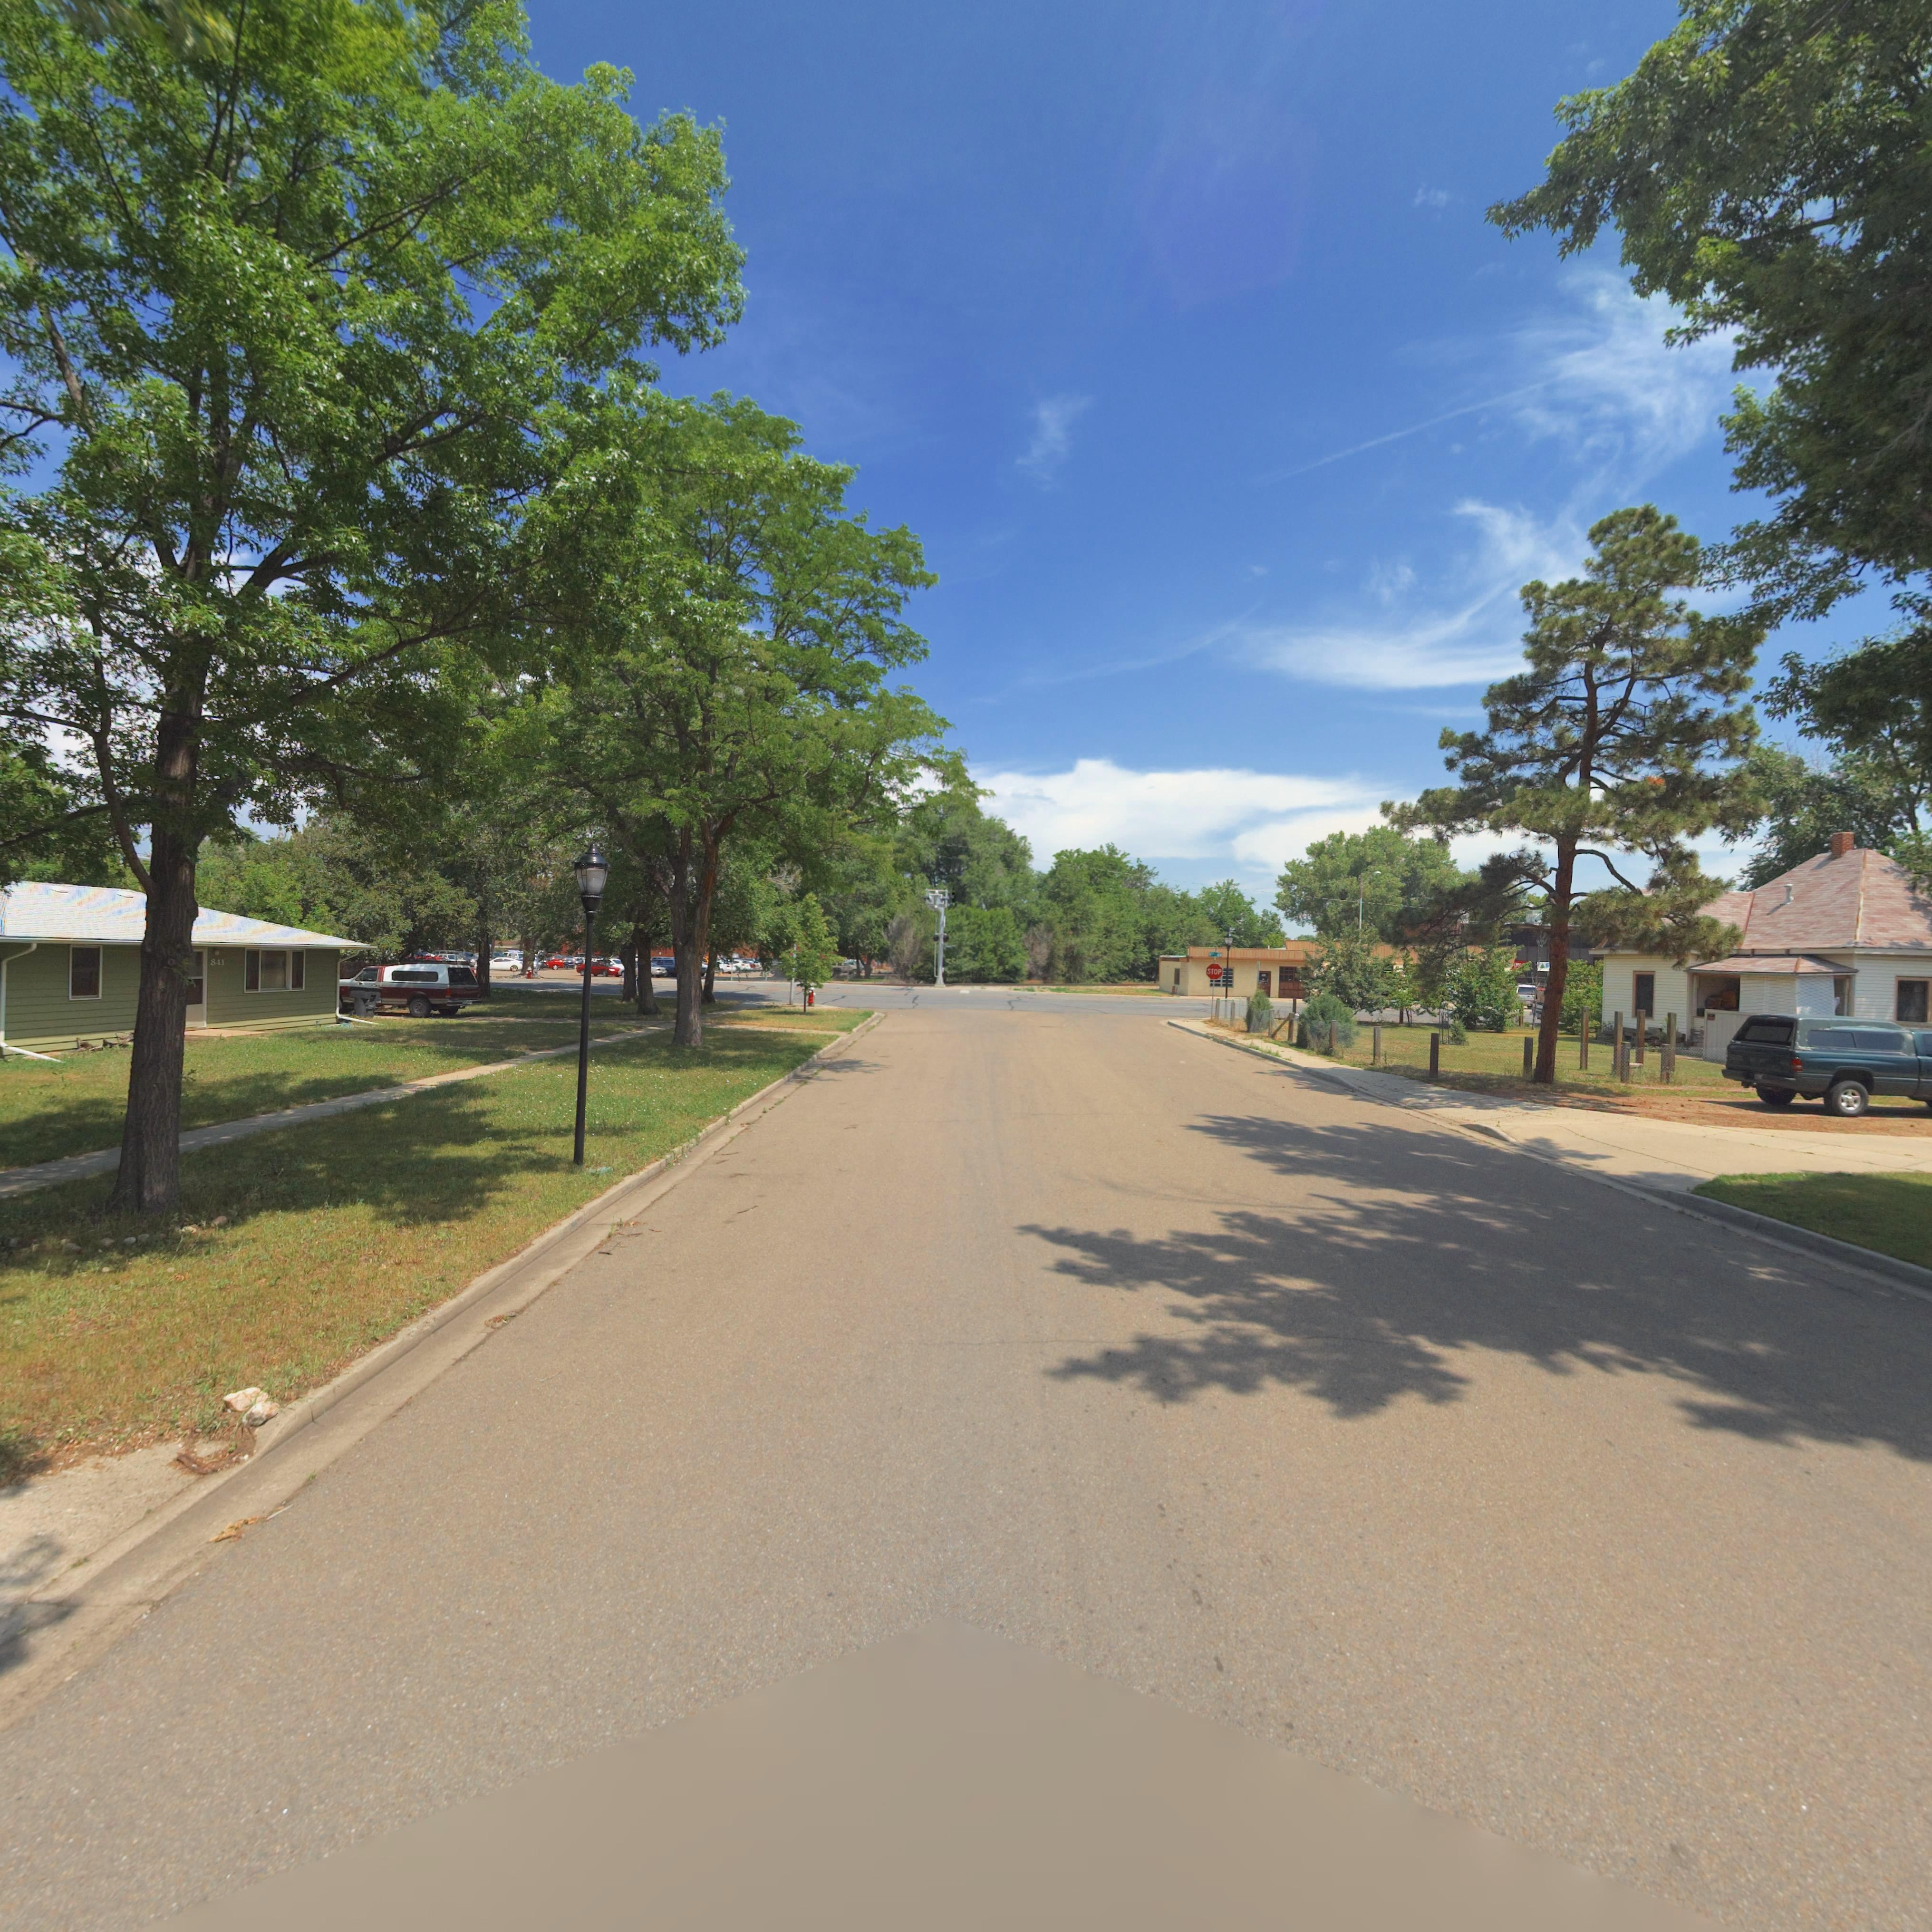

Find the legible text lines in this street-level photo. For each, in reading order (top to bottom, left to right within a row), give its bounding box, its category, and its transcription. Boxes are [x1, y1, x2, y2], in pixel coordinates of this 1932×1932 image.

[1208, 952, 1221, 956] StreetName: *** A*
[210, 958, 224, 966] StreetNumber: 841